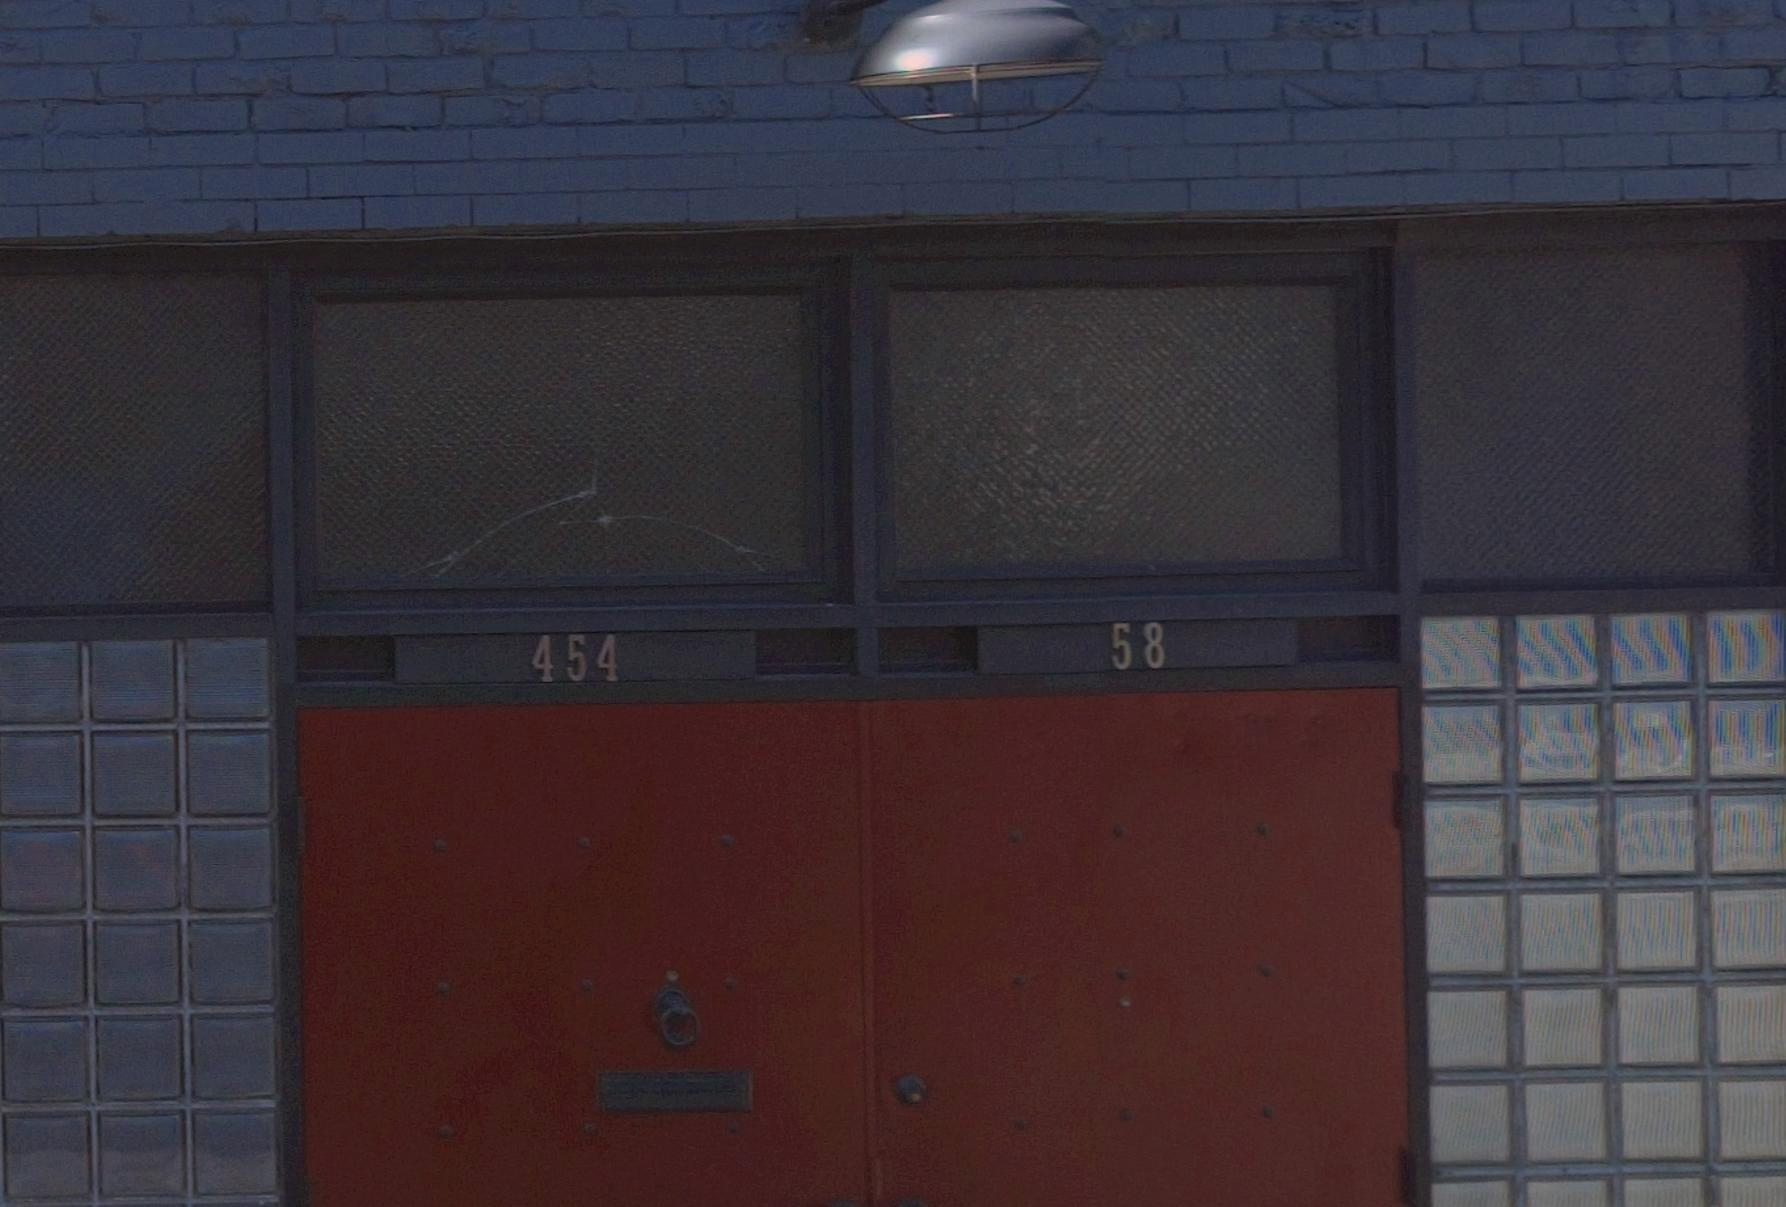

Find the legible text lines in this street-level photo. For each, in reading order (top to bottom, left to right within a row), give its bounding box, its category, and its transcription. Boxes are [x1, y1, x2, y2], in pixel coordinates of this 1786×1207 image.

[529, 631, 621, 684] StreetNumber: 454
[1108, 619, 1168, 672] StreetNumber: 58